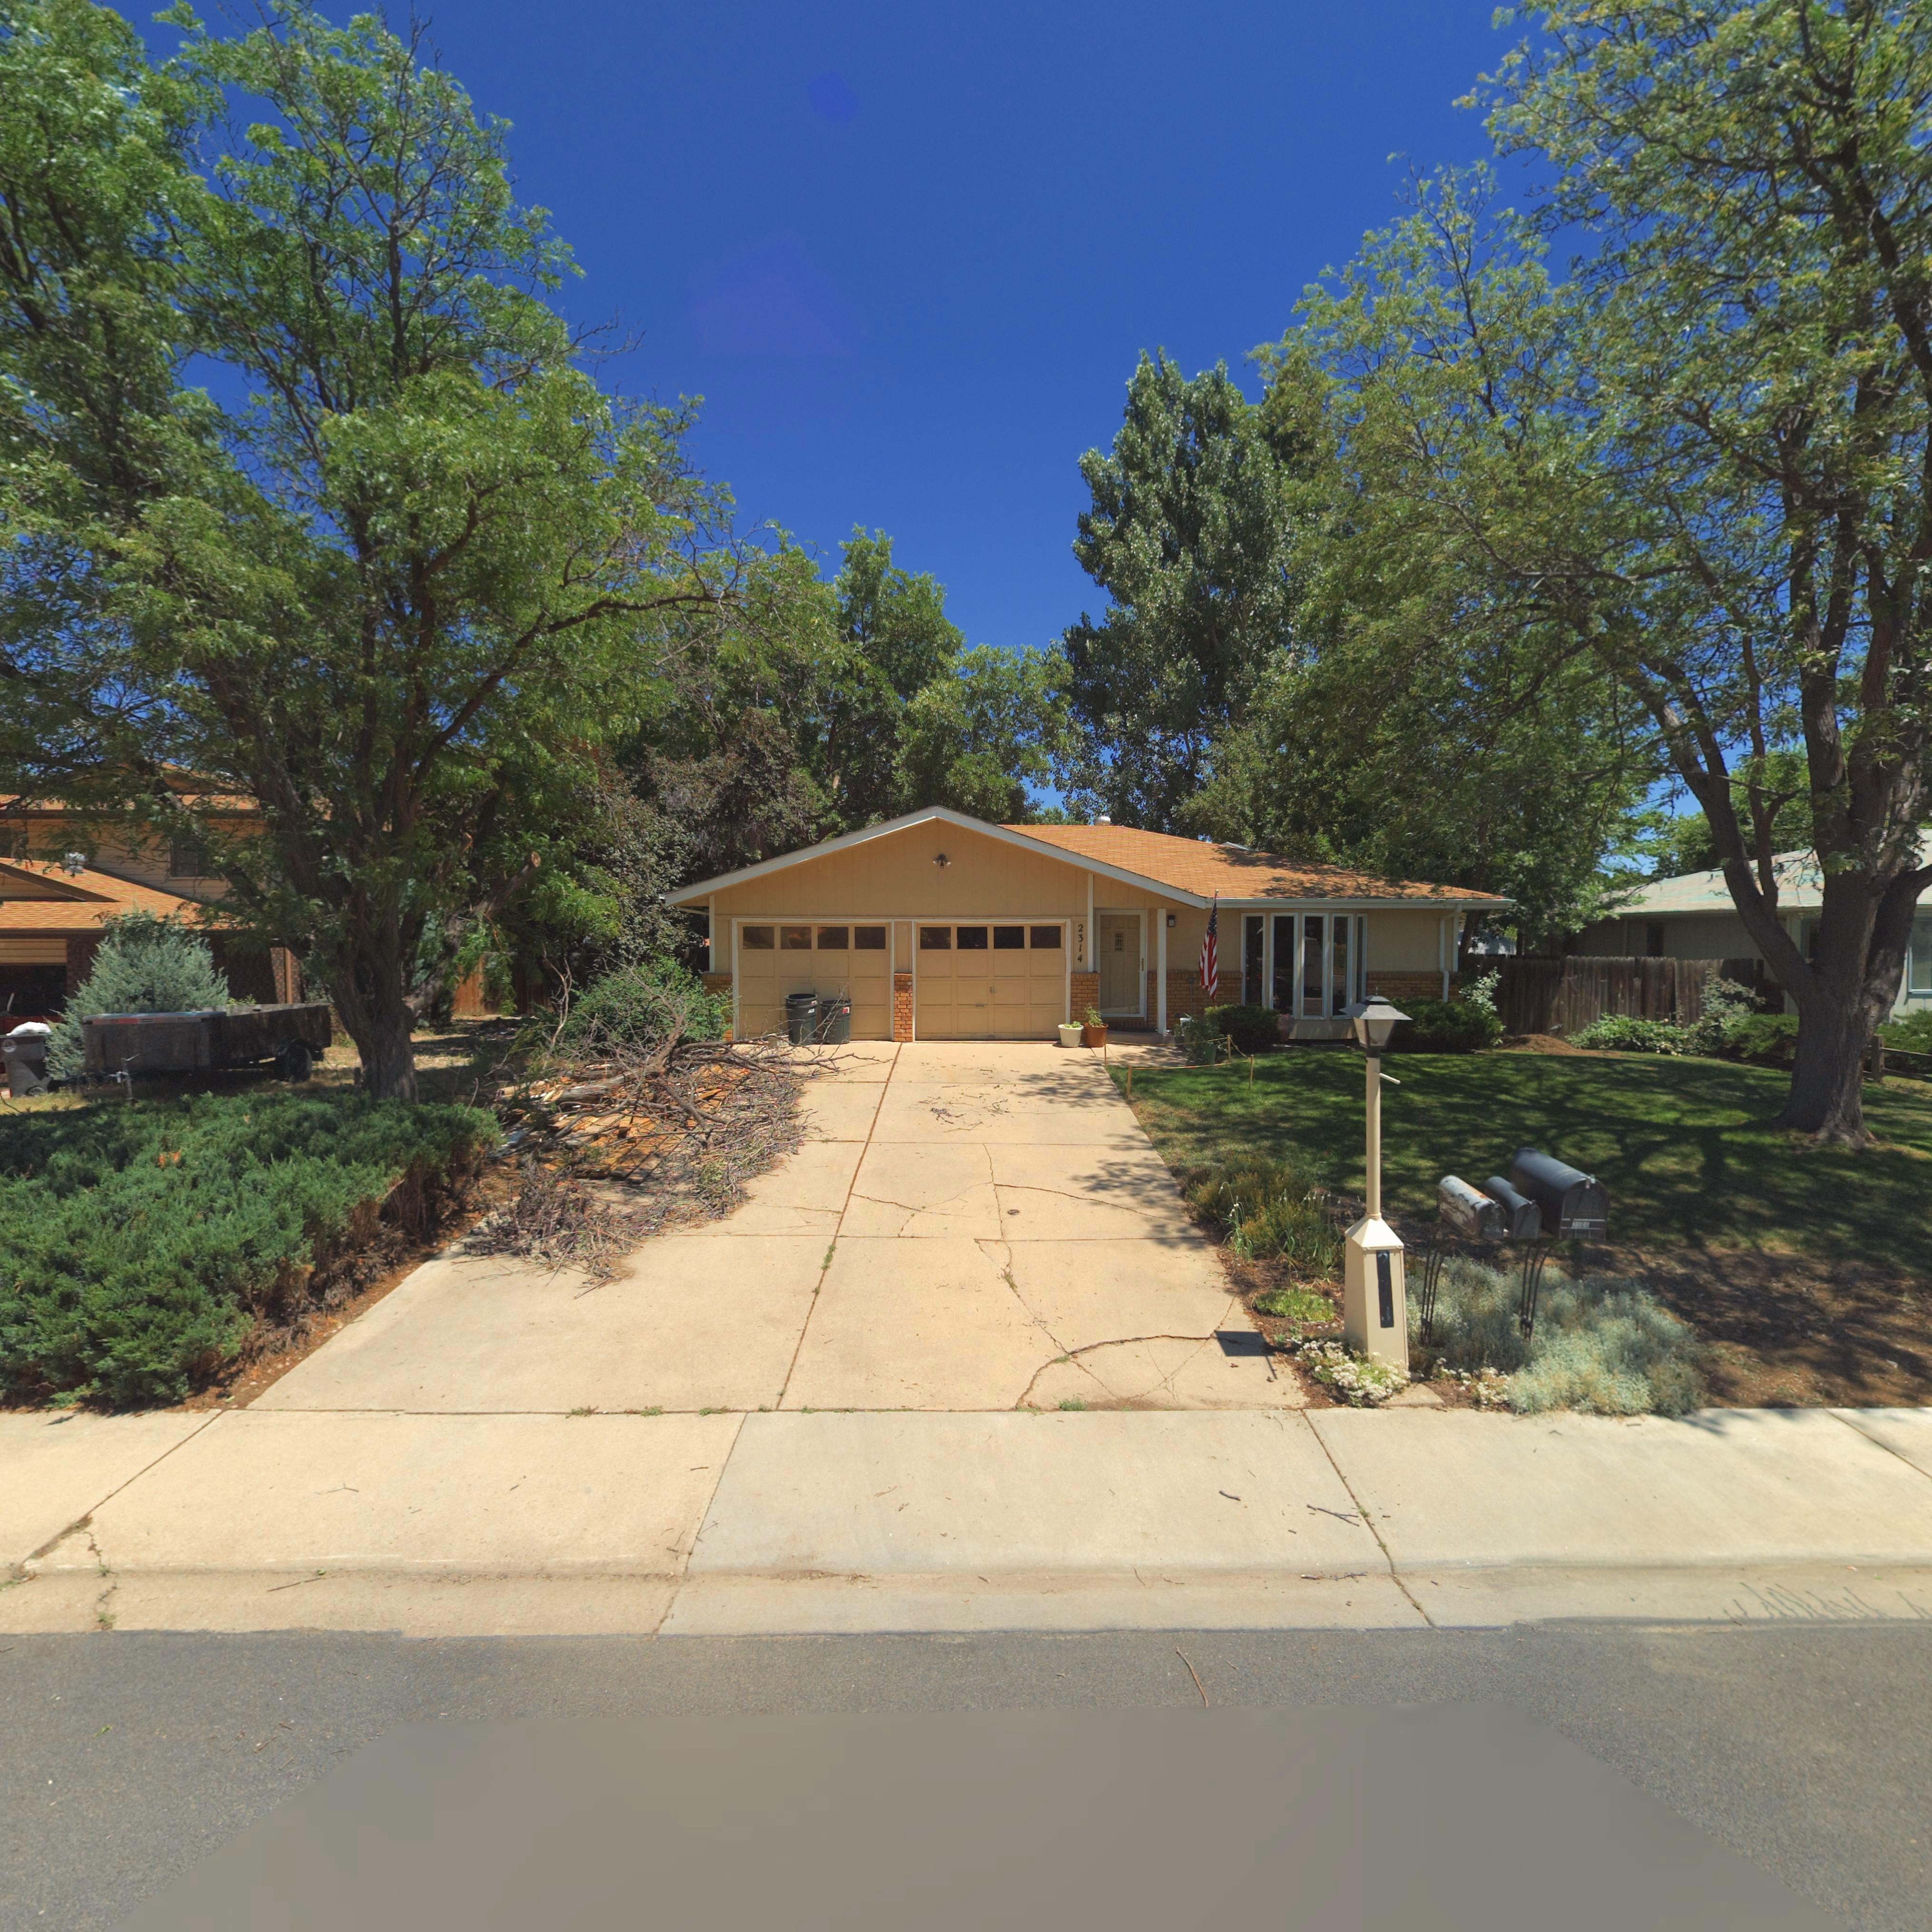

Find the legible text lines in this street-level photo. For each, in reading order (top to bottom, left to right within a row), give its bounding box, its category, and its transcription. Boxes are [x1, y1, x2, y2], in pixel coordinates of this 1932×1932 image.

[1077, 923, 1083, 963] StreetNumber: 2314